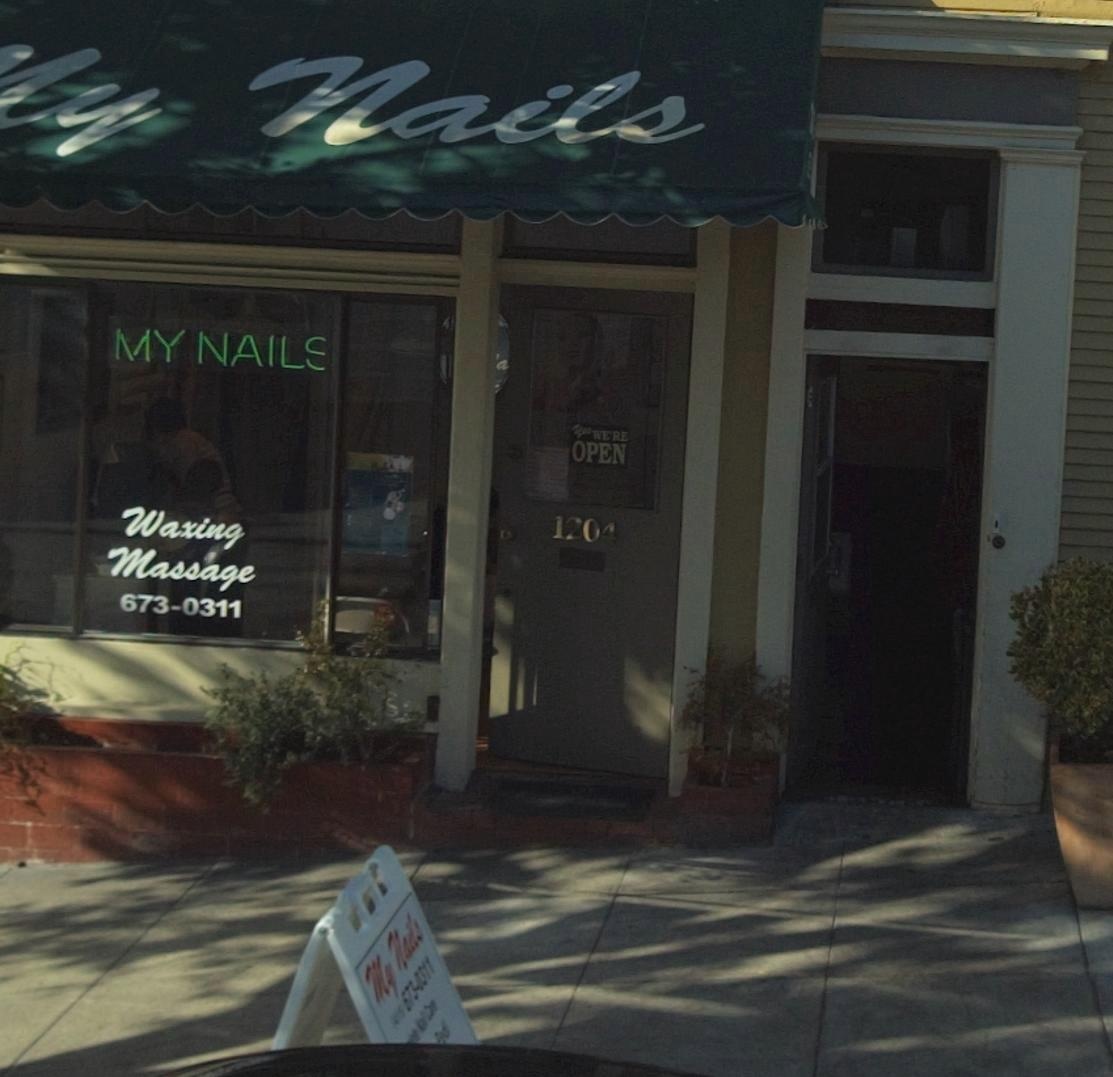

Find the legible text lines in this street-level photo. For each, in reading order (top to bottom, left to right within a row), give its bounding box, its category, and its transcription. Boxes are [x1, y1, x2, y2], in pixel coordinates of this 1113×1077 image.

[0, 43, 711, 160] BusinessName: *y Nails
[114, 324, 331, 373] BusinessName: MY NAIL*
[571, 440, 627, 467] None: OPEN
[570, 422, 629, 442] None: Yes WE'RE
[116, 502, 251, 553] None: Waxing
[549, 511, 620, 550] StreetNumber: 1204
[105, 543, 258, 595] None: Massage
[116, 589, 244, 621] None: 673-0311
[363, 907, 424, 1008] BusinessName: My Nails
[398, 951, 437, 1014] None: 673-0311